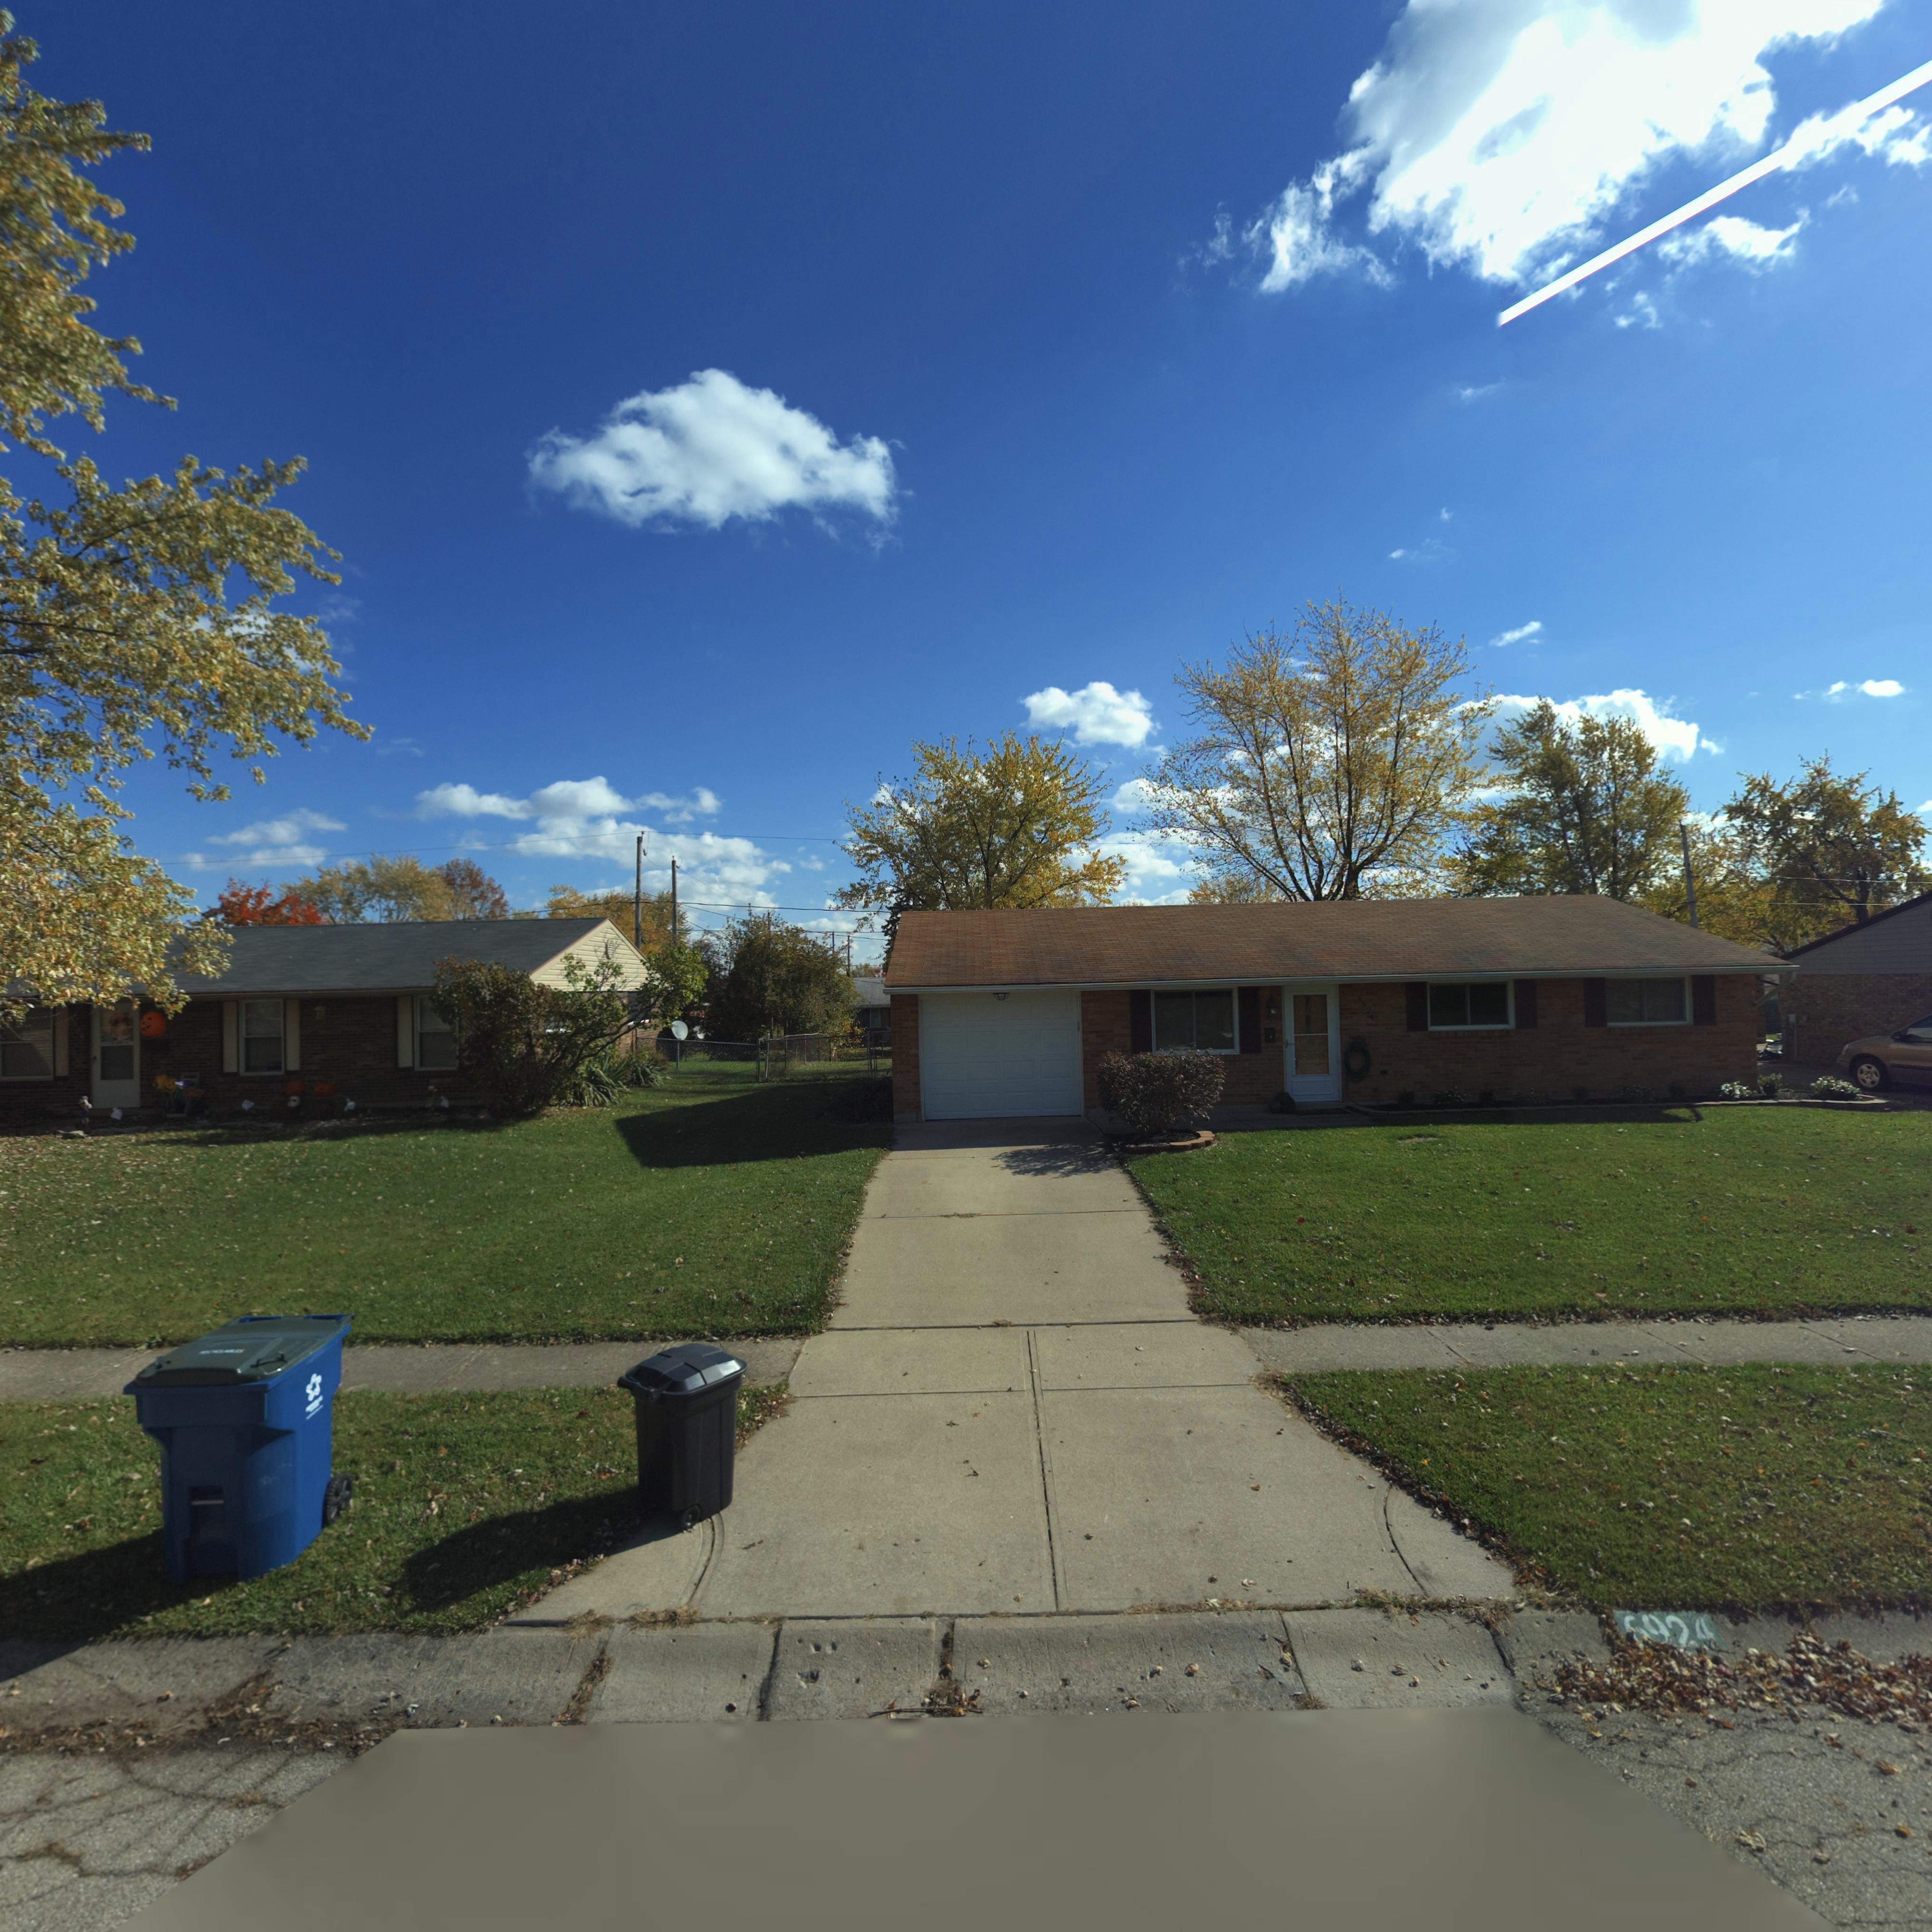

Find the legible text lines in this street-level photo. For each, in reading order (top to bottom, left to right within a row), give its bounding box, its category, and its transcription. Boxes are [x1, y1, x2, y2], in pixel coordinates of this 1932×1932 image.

[1356, 994, 1375, 1022] StreetNumber: 6924
[1619, 1611, 1722, 1653] StreetNumber: *92*